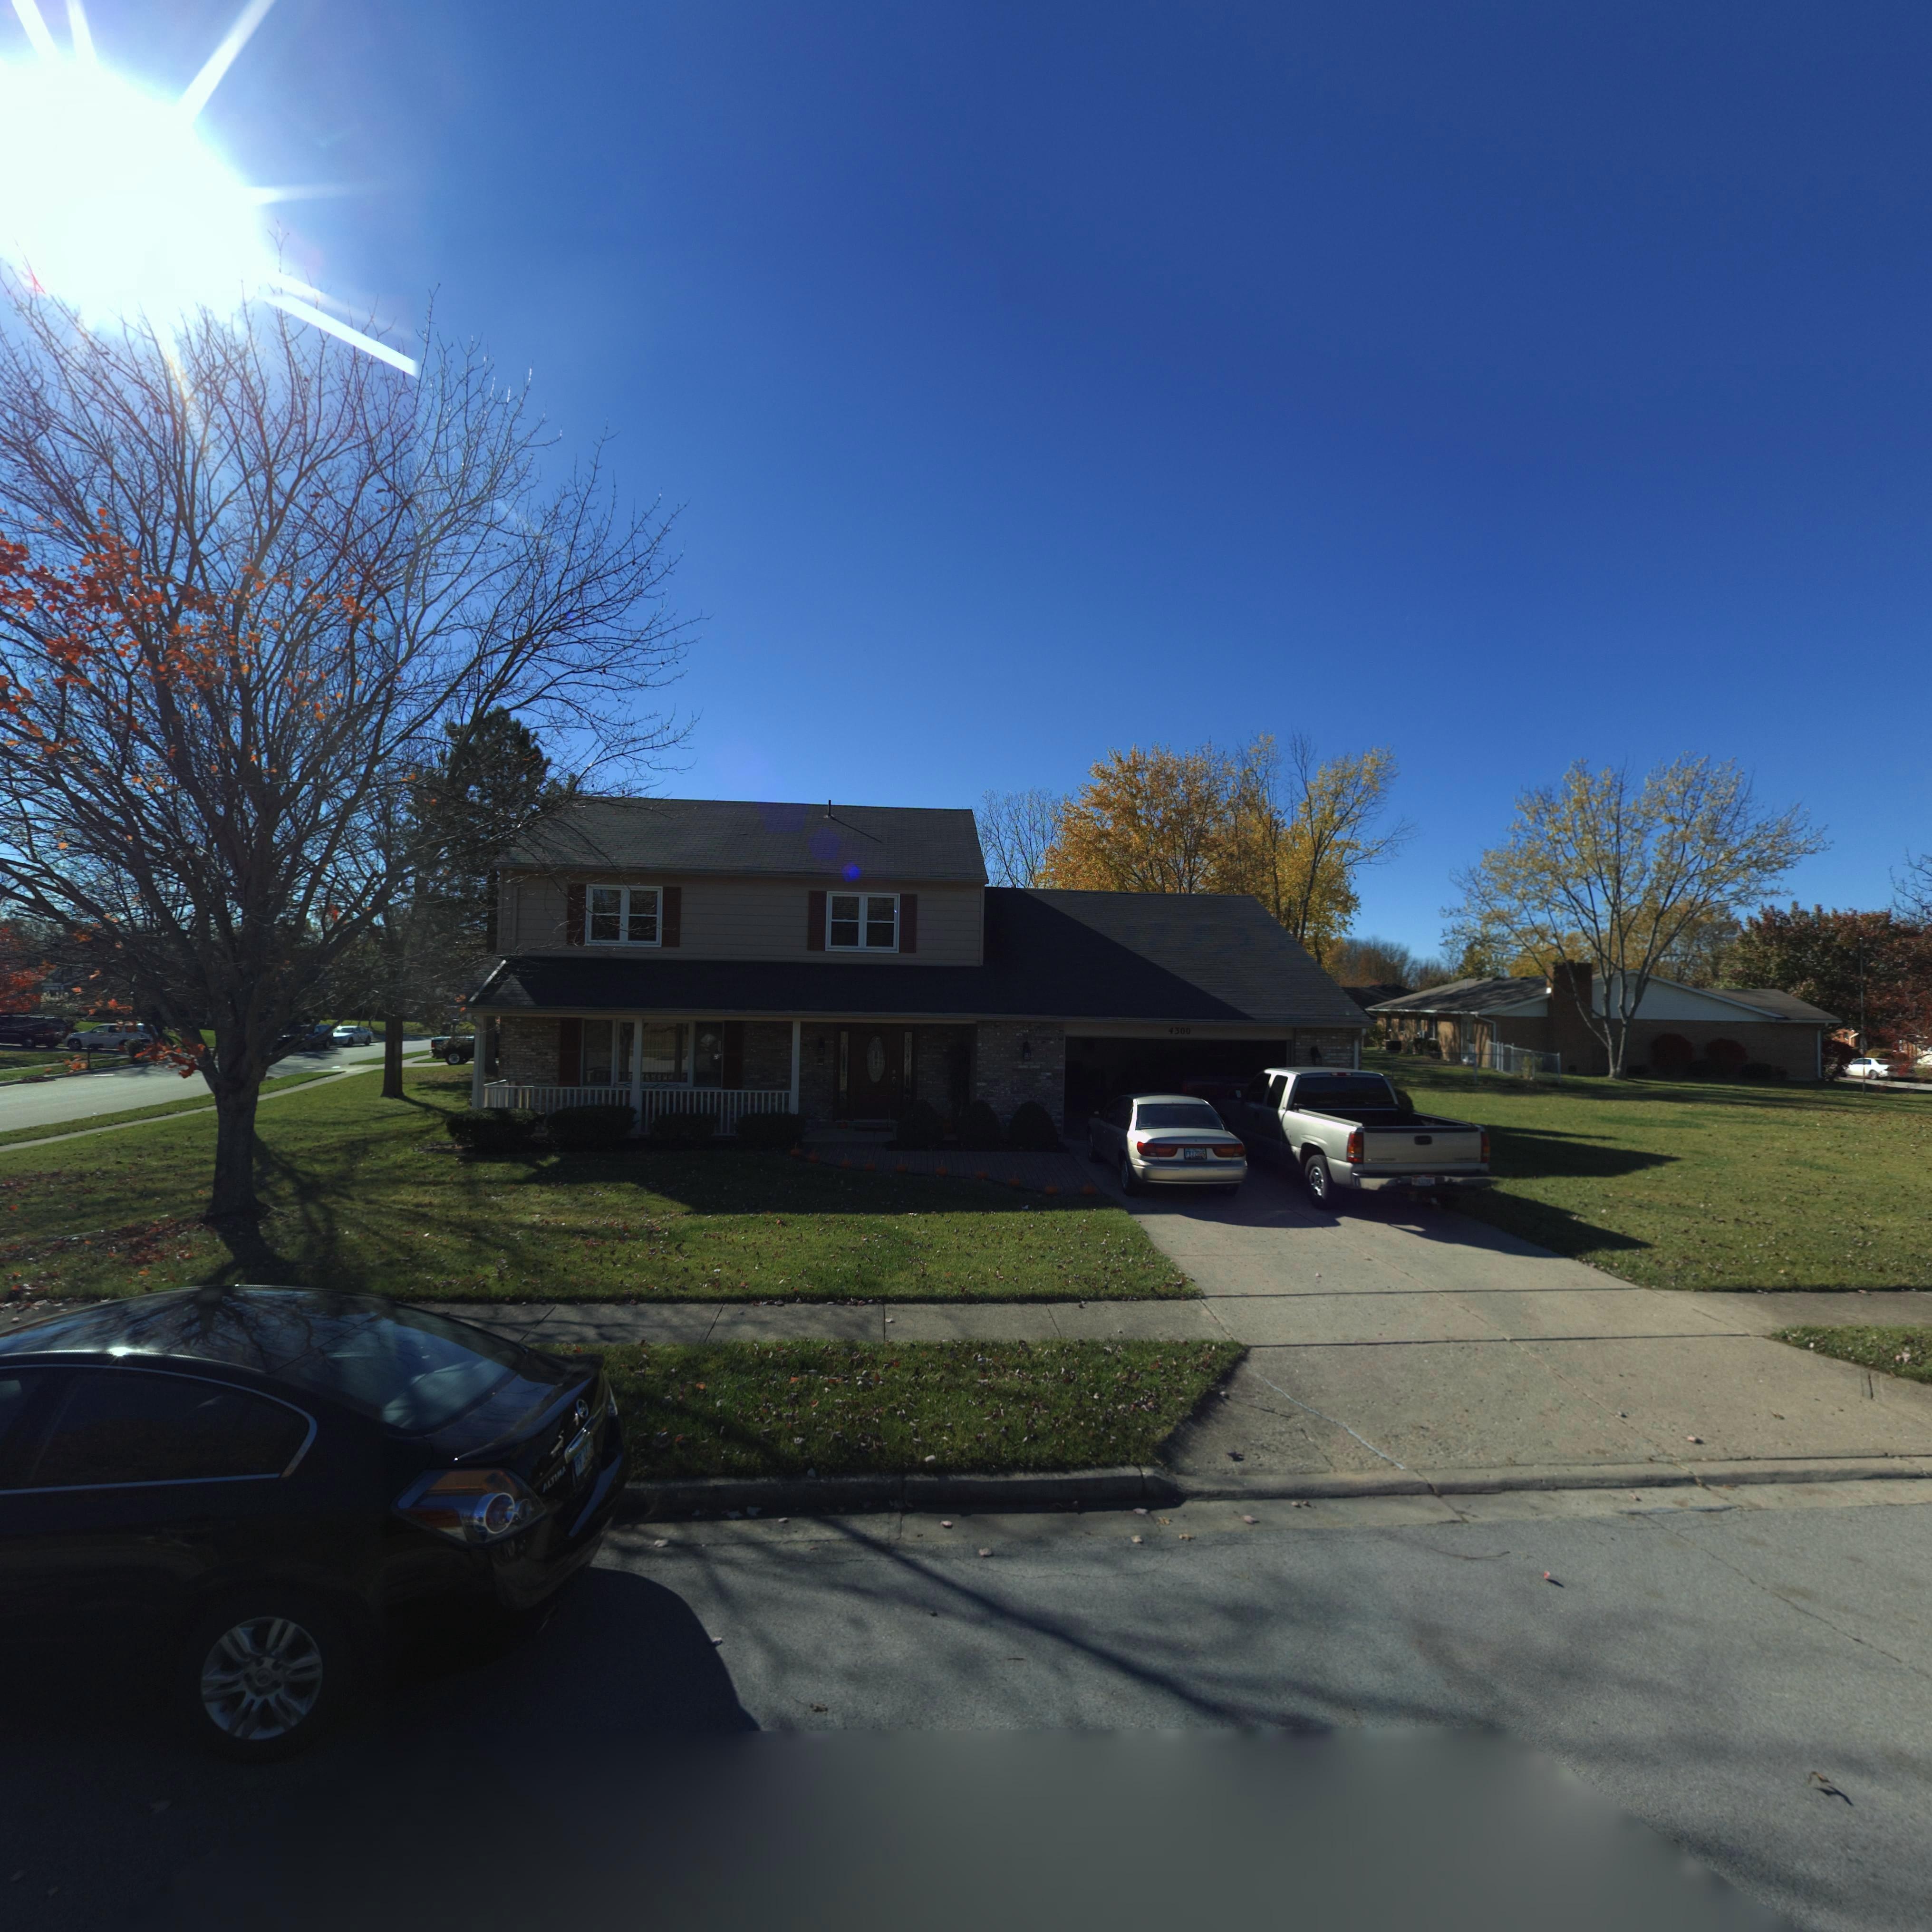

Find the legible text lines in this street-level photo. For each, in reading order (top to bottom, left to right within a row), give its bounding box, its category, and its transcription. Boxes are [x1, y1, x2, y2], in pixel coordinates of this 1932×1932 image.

[1168, 1027, 1191, 1034] StreetNumber: 4300